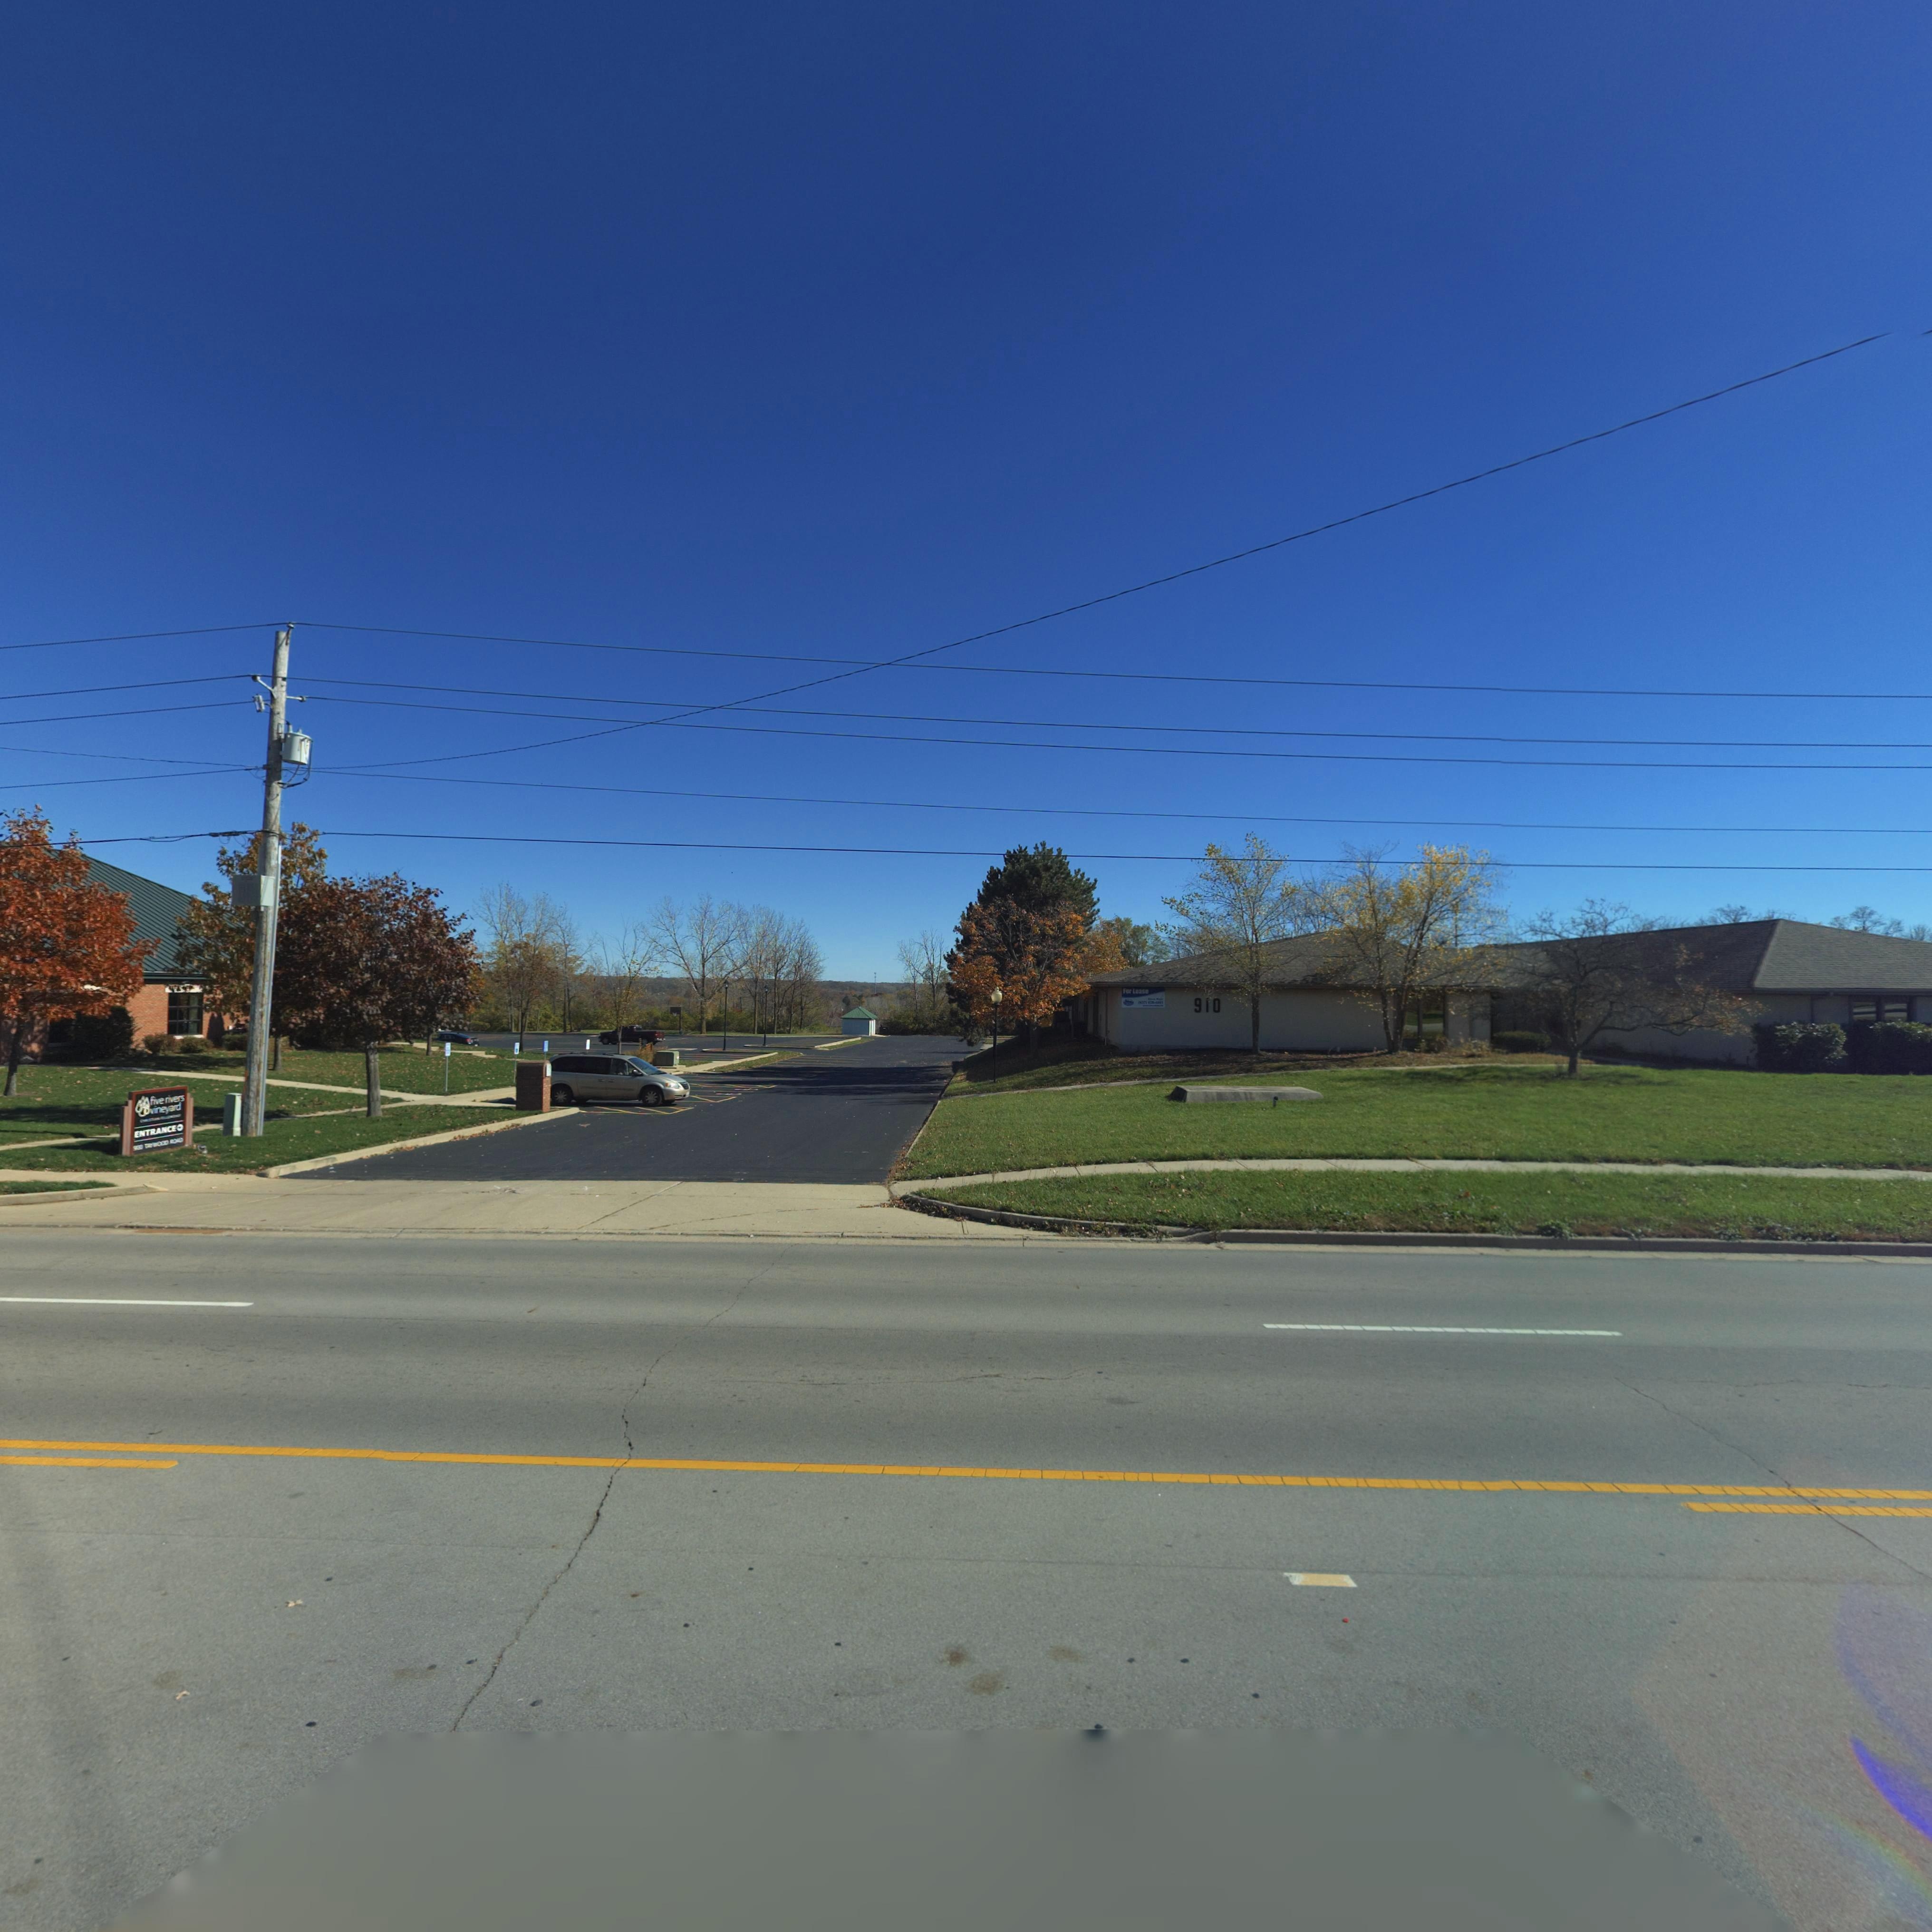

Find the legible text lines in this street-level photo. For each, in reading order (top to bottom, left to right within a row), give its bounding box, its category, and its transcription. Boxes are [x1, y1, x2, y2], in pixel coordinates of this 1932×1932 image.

[1193, 996, 1222, 1014] StreetNumber: 910
[148, 1094, 185, 1106] BusinessName: five rivers
[148, 1101, 182, 1115] BusinessName: vineyard